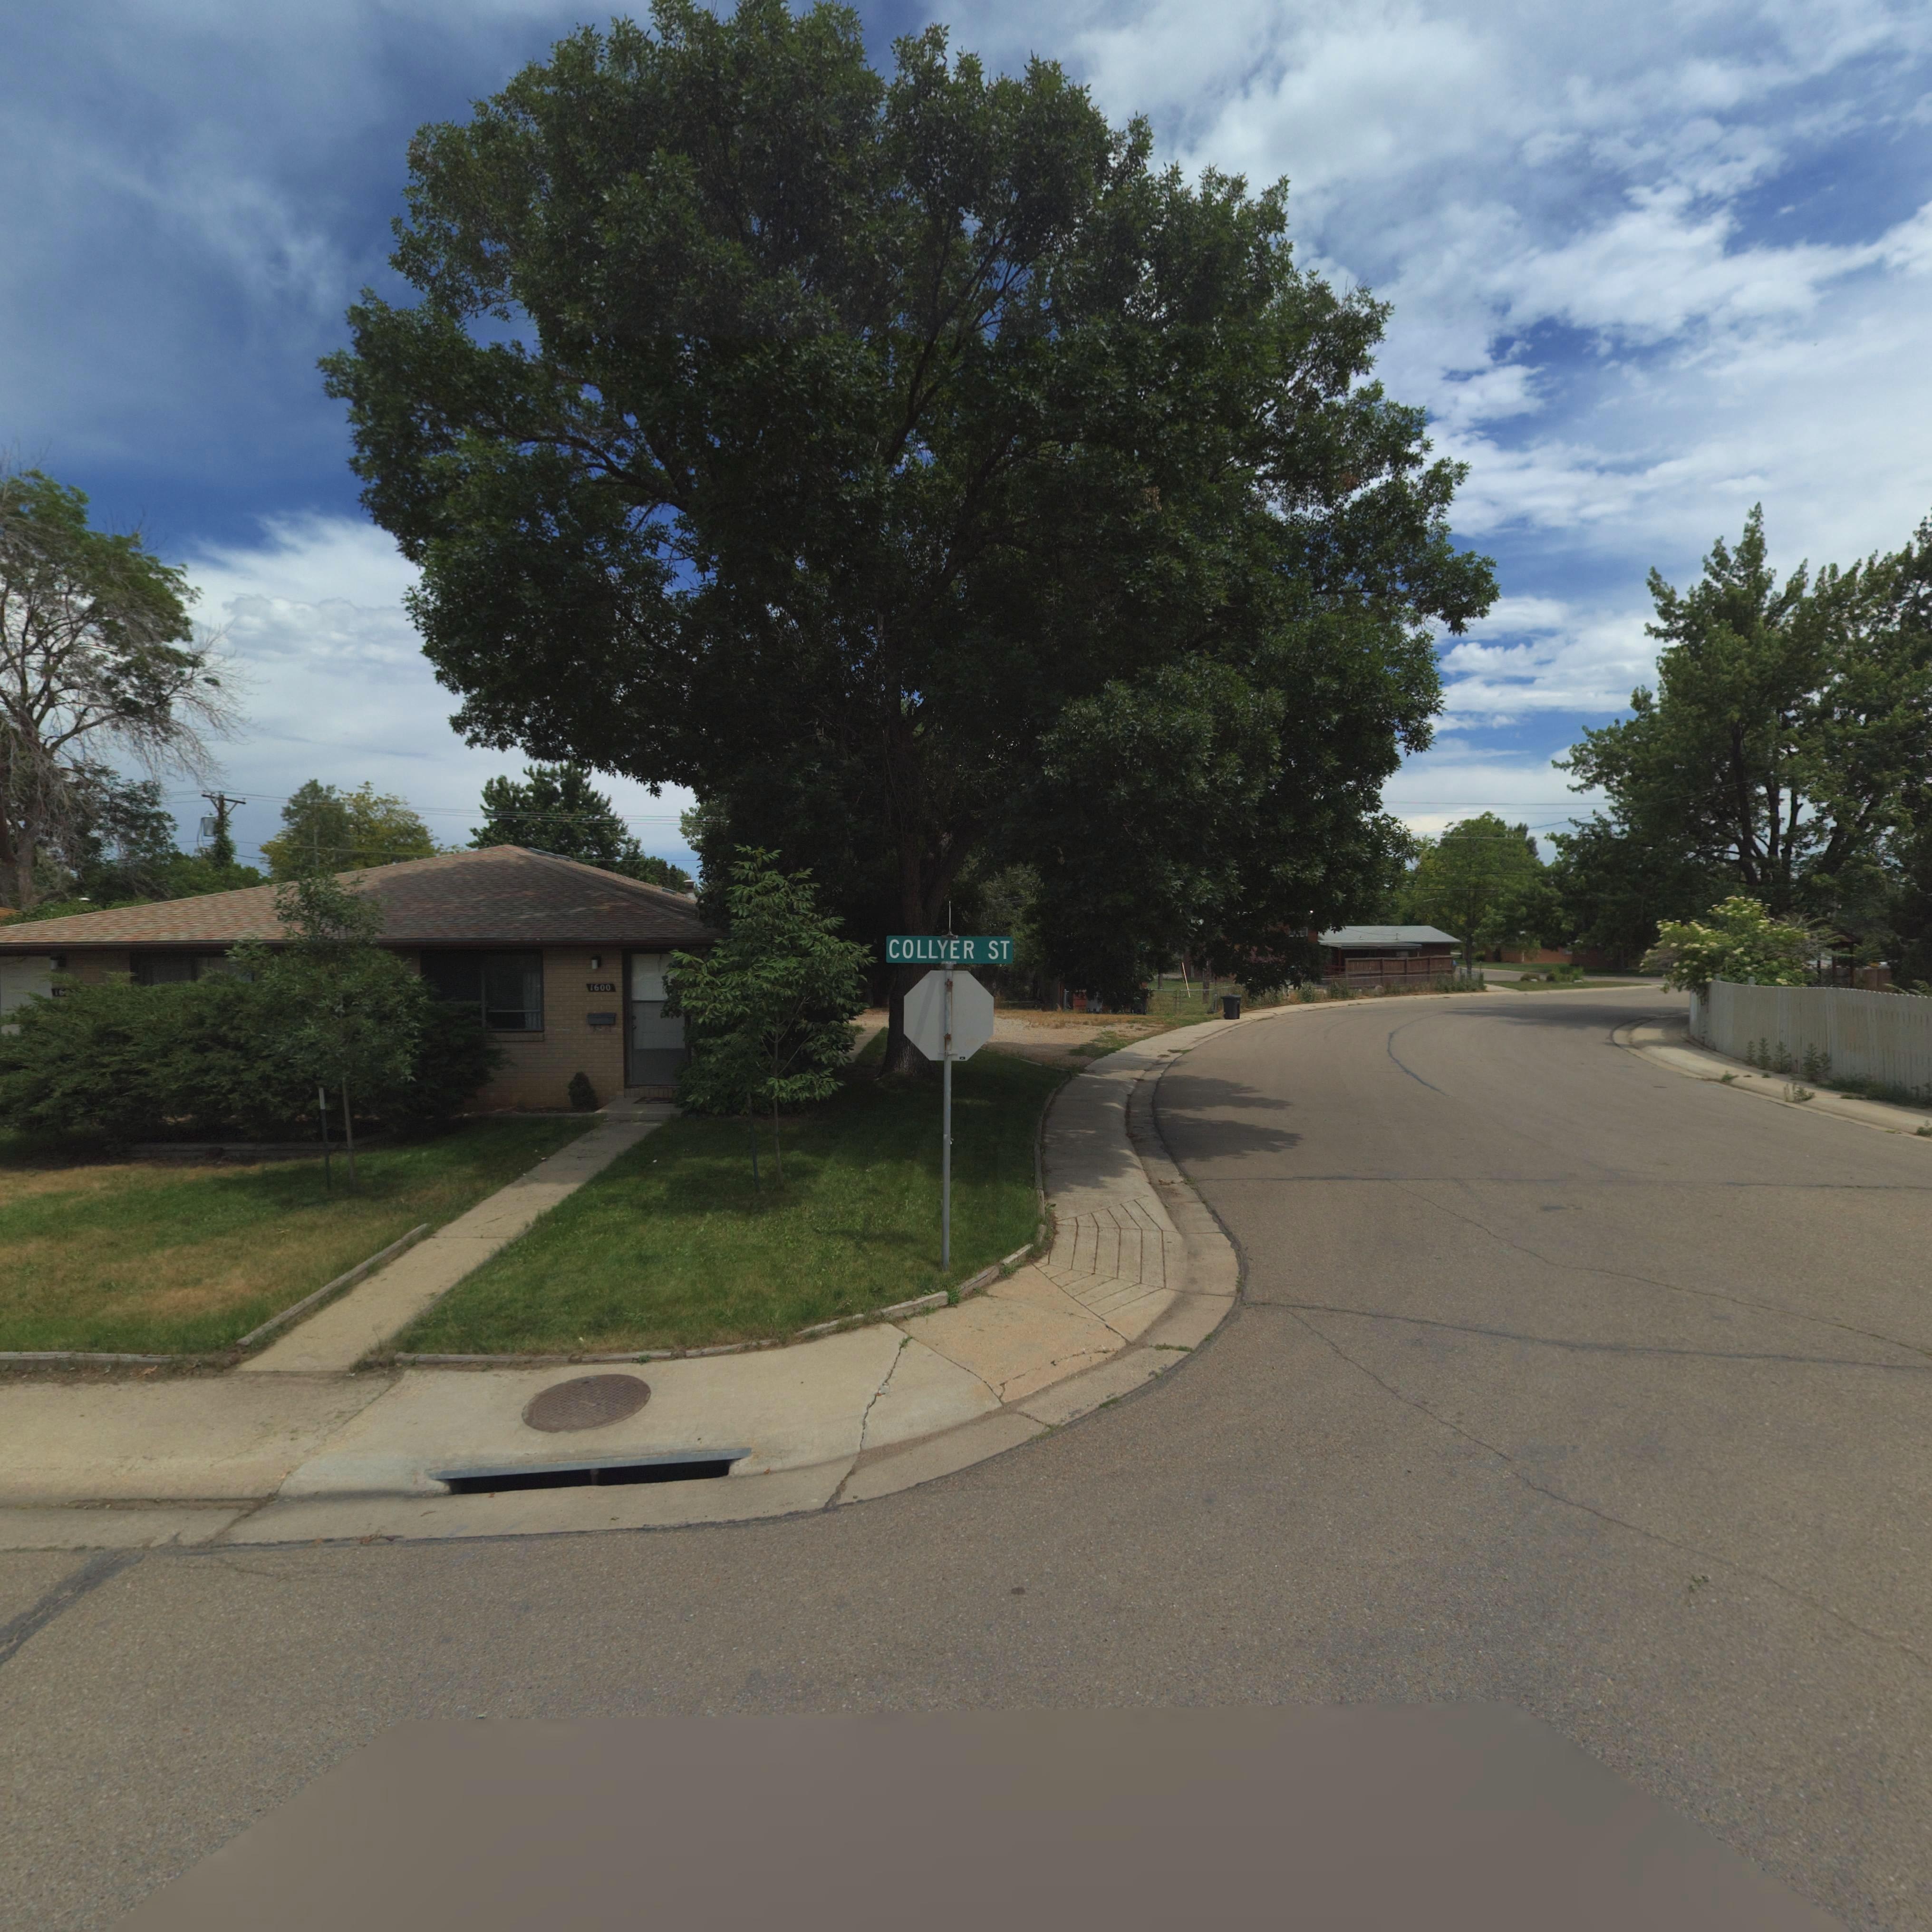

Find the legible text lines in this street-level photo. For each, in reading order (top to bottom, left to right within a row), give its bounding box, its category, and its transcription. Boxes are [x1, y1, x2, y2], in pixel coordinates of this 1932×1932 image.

[888, 938, 1011, 961] StreetName: COLLYER ST
[590, 984, 611, 991] StreetNumber: 1600